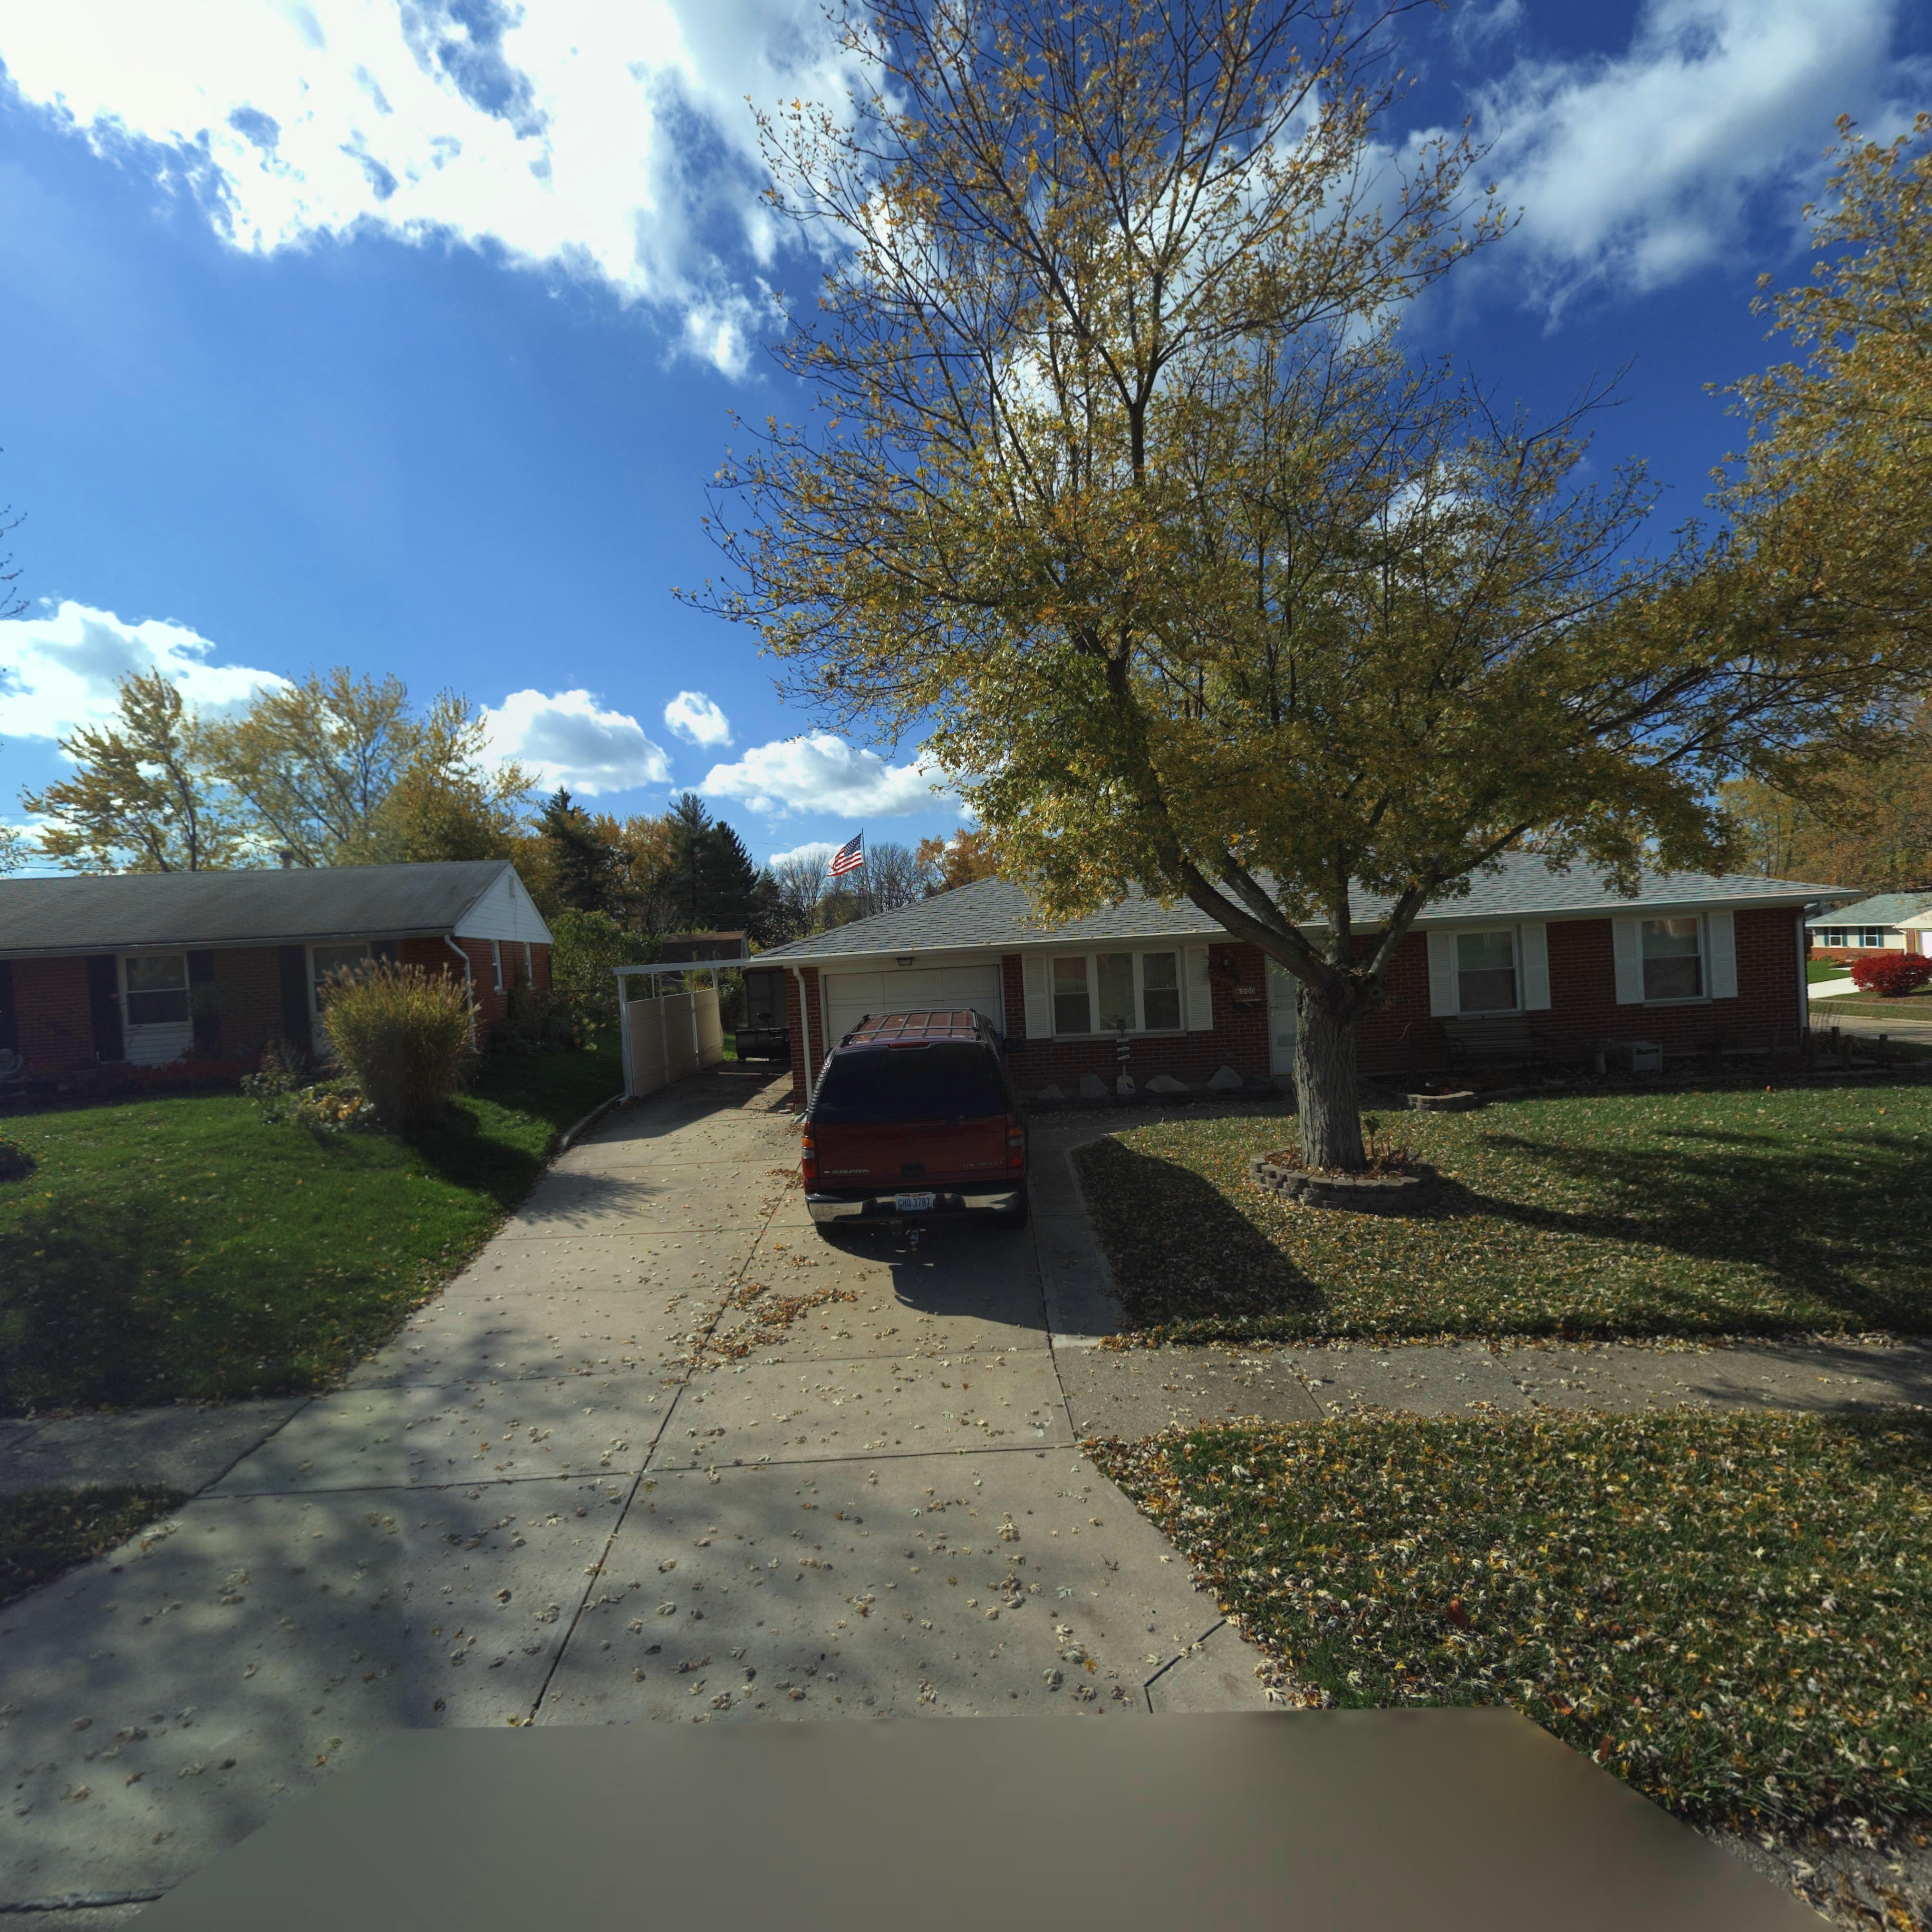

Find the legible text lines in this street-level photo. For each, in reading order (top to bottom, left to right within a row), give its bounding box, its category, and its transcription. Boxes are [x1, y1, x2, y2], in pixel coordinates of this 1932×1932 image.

[1235, 987, 1255, 995] StreetNumber: 6500